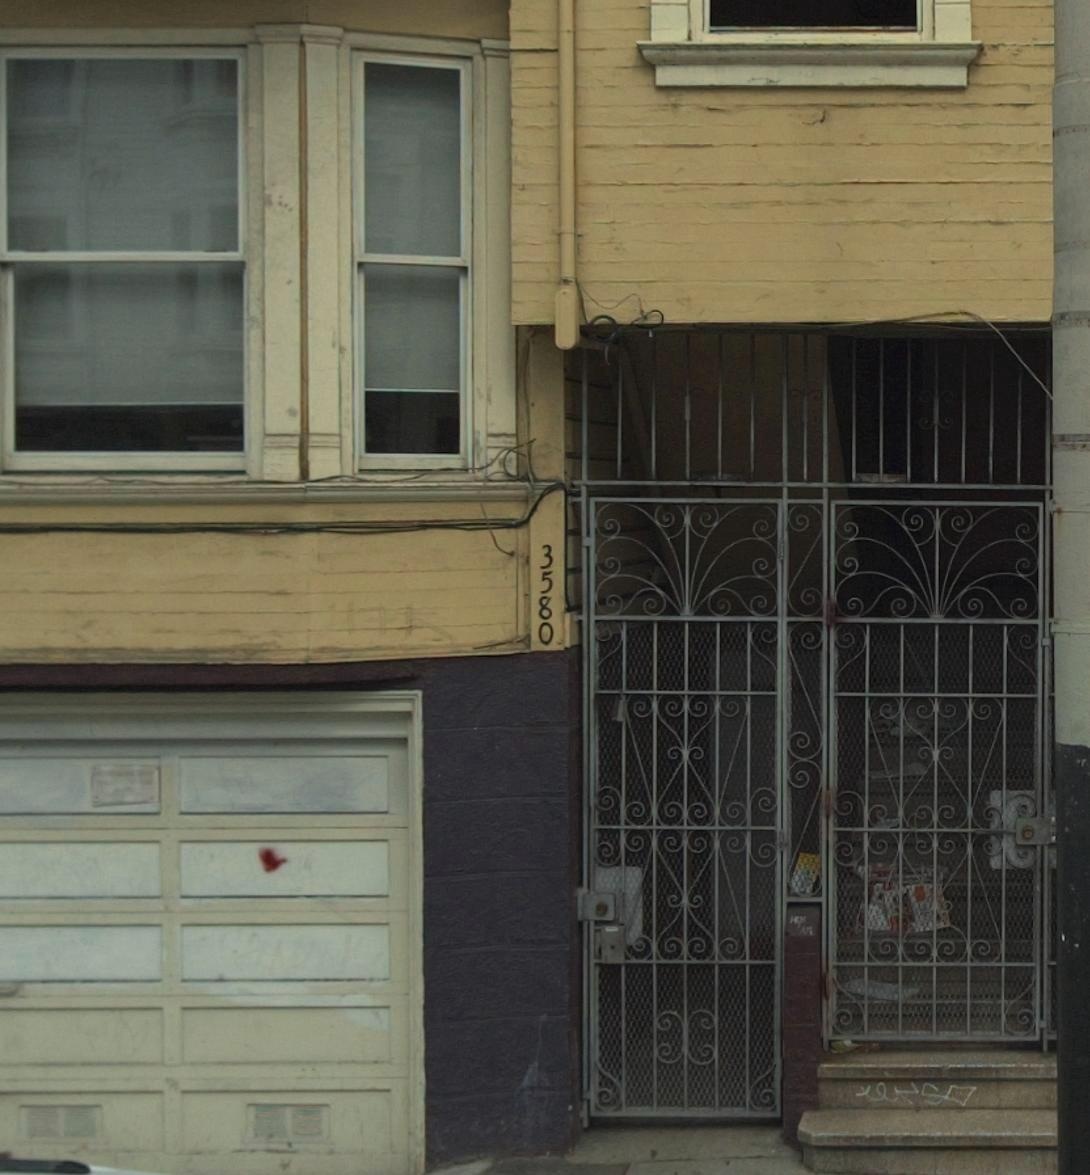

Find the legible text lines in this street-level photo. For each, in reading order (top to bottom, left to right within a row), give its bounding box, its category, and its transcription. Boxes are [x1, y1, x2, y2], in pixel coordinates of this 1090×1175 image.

[535, 542, 556, 648] StreetNumber: 3580